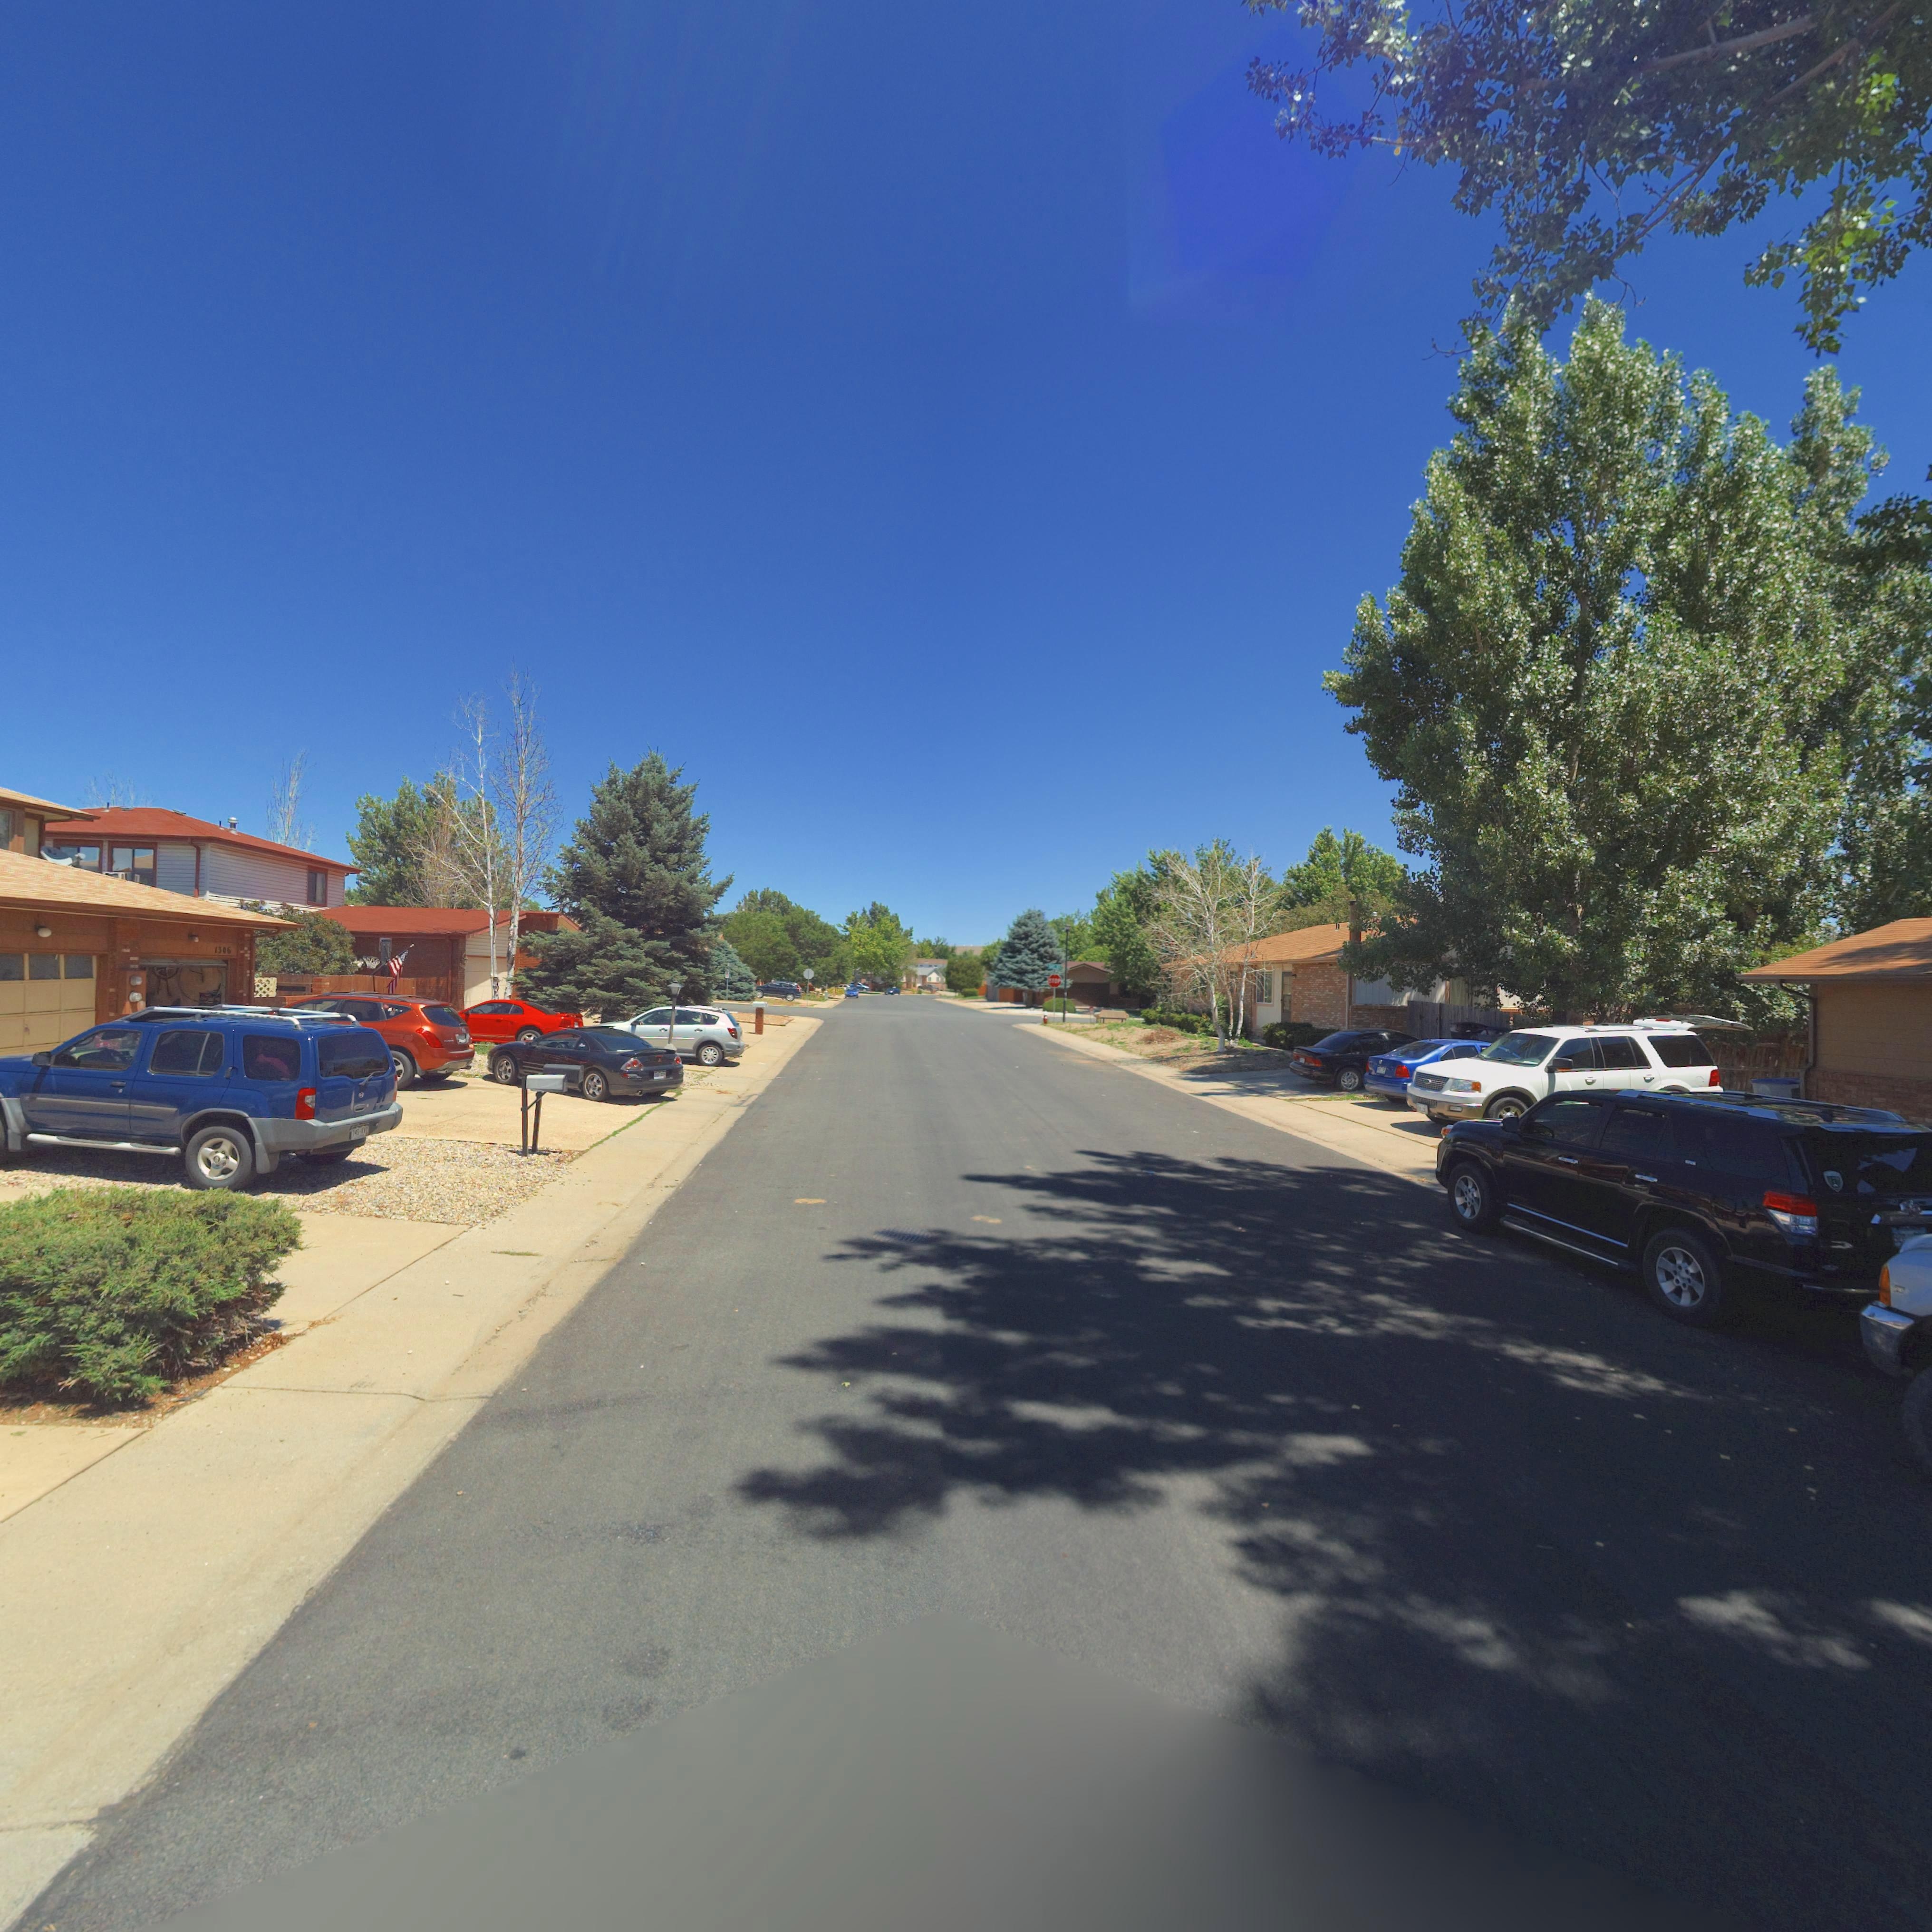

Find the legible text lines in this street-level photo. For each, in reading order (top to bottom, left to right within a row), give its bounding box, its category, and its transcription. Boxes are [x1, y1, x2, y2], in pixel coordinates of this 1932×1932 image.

[214, 946, 231, 954] StreetNumber: 1306